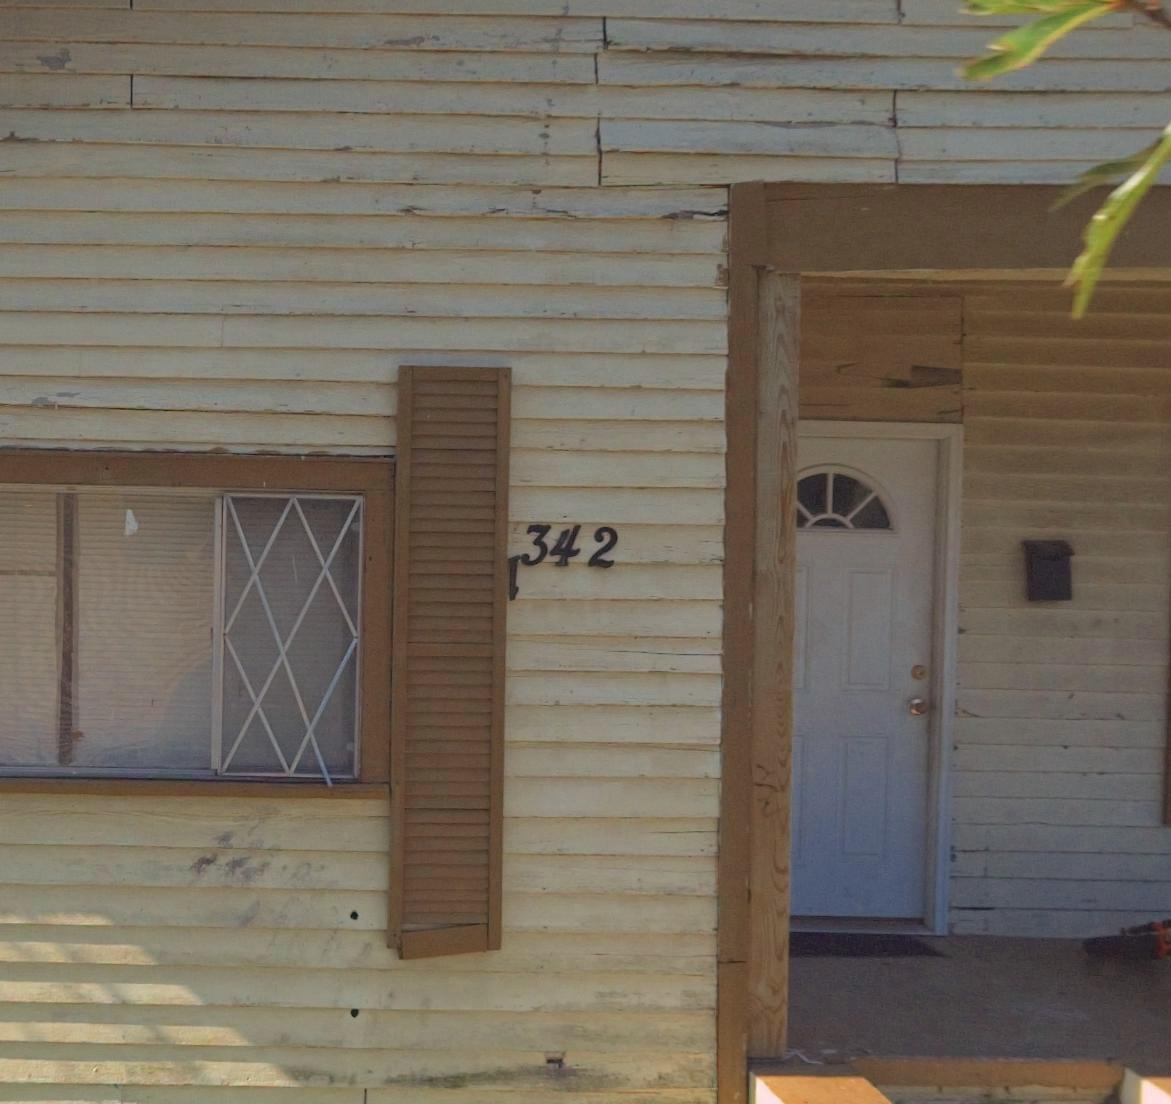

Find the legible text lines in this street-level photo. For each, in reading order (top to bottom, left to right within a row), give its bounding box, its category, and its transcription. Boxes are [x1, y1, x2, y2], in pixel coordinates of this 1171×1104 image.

[515, 520, 621, 574] StreetNumber: 342